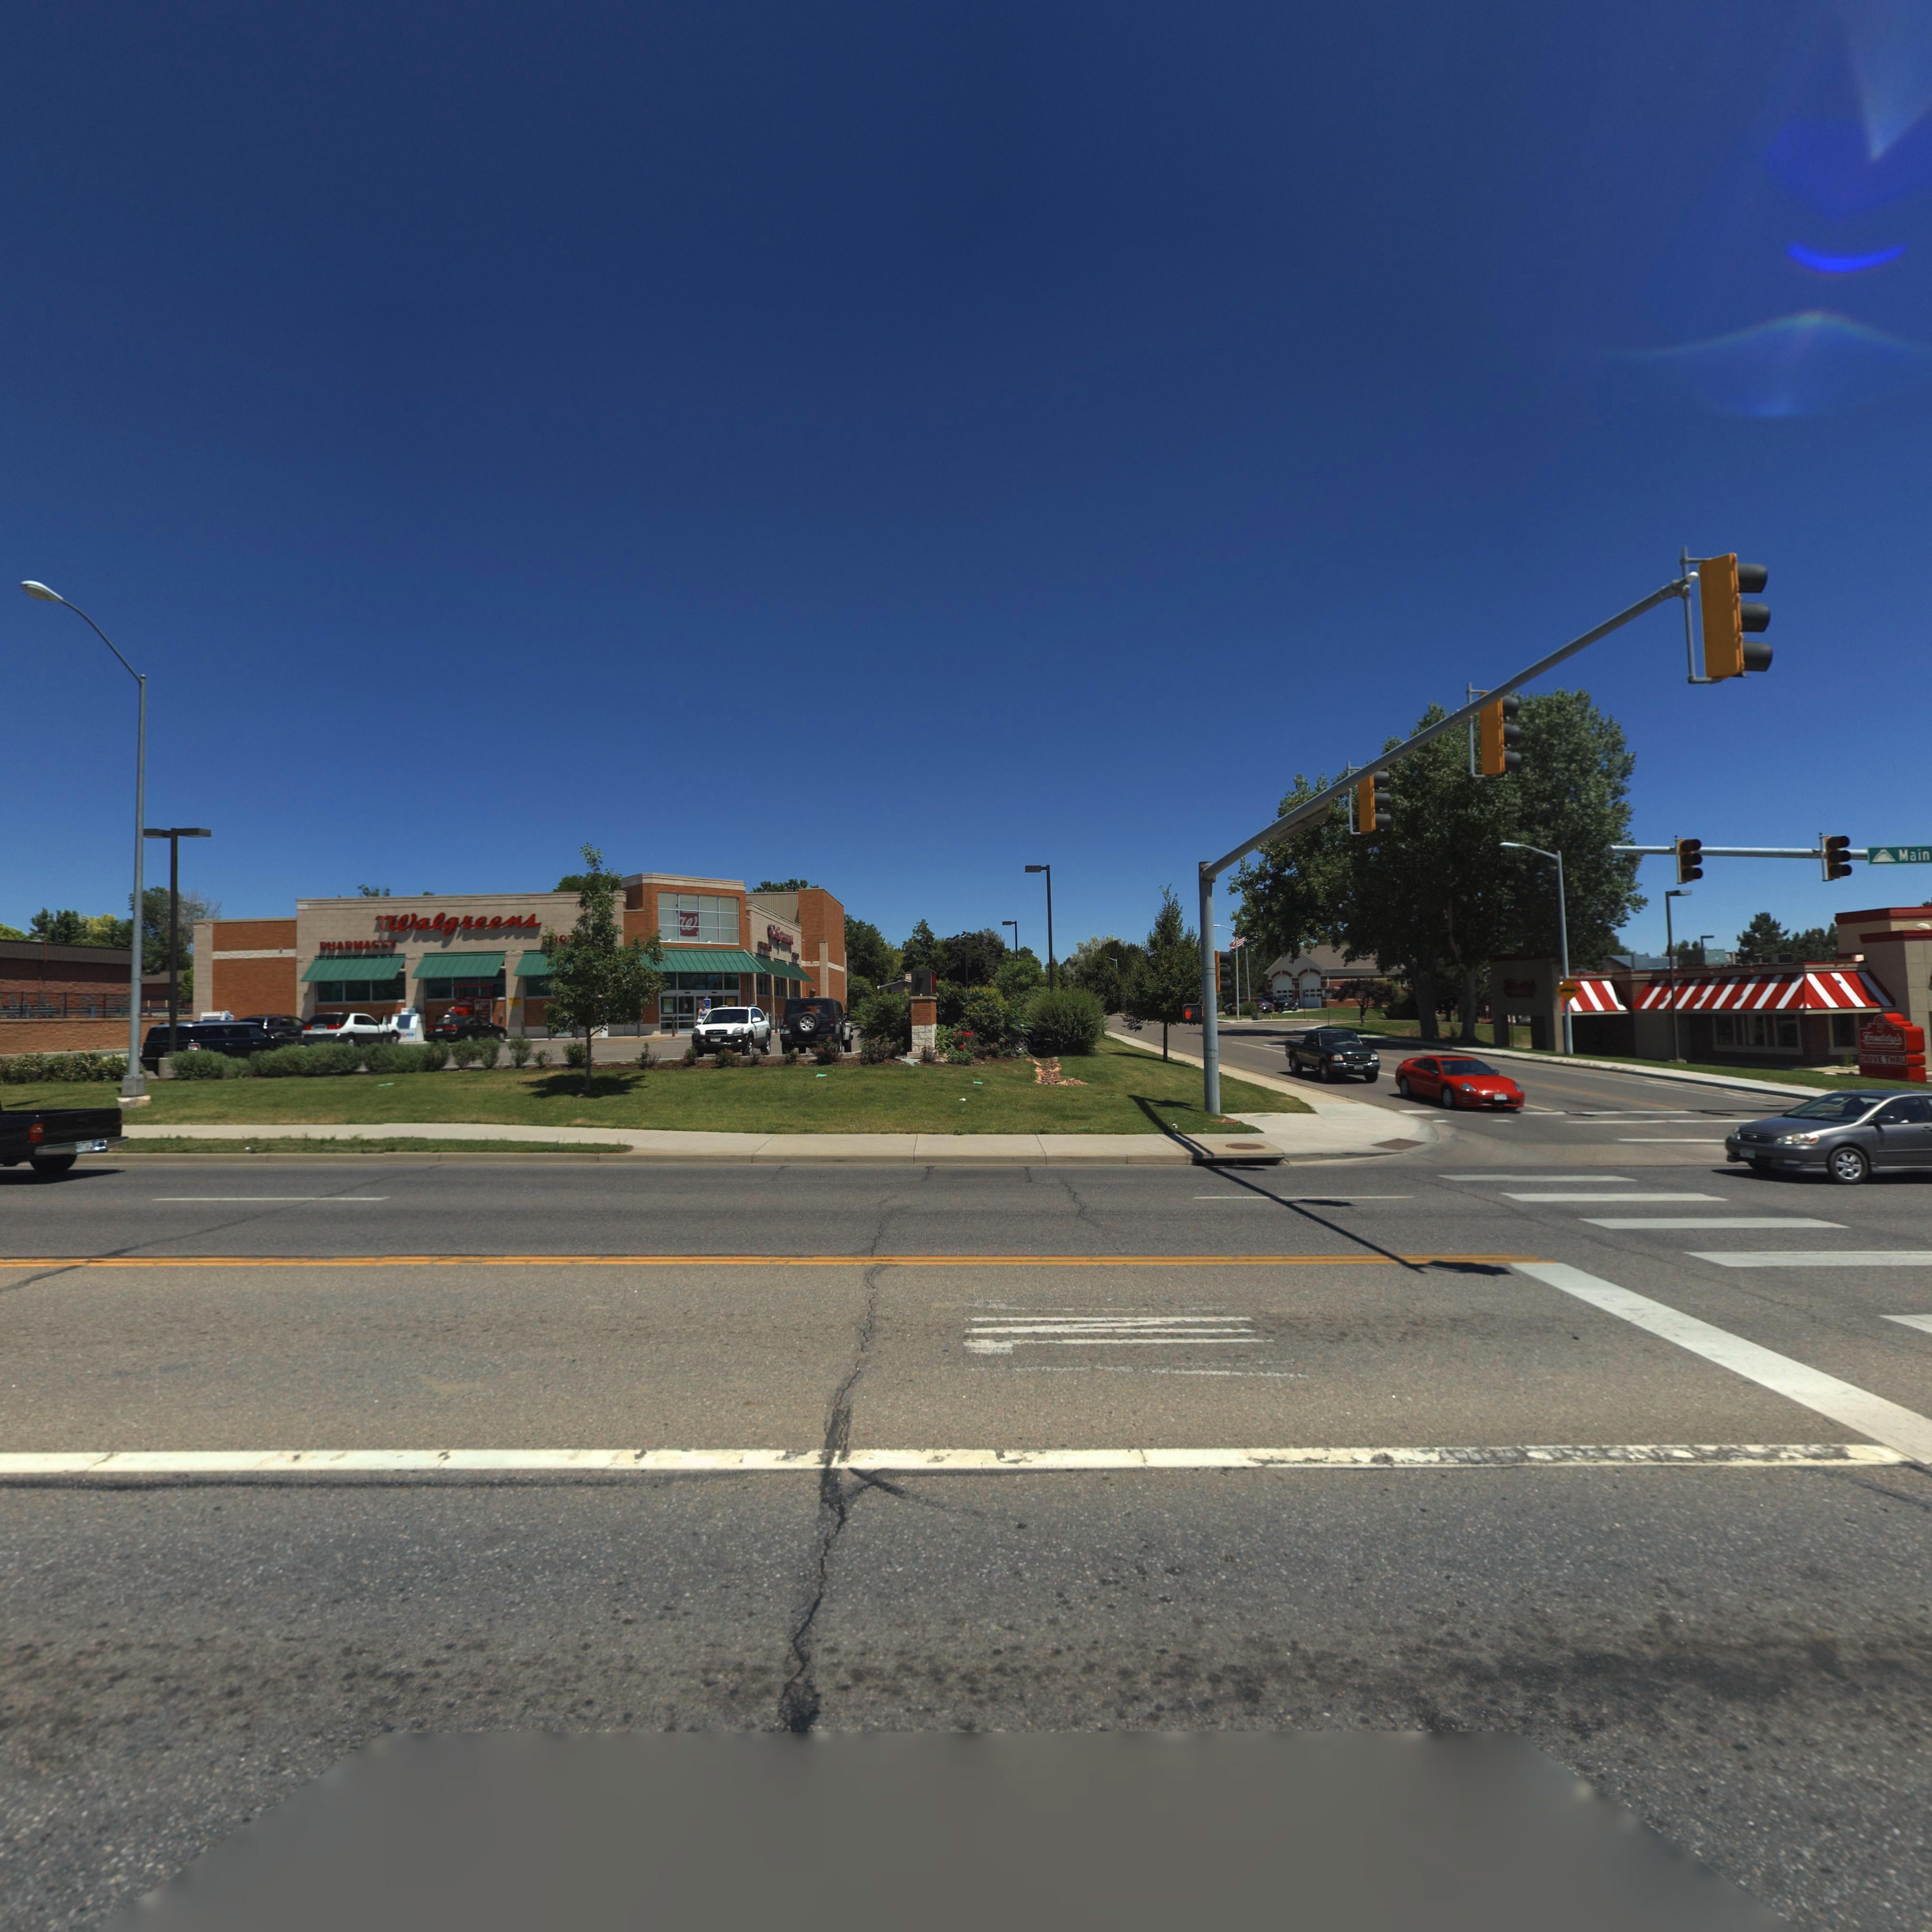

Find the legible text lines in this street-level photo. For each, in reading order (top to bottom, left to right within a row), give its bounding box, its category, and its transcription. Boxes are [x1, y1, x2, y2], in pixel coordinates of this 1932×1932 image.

[1898, 848, 1930, 861] StreetName: Main
[374, 912, 542, 936] BusinessName: *Walgreens
[695, 985, 706, 989] StreetNumber: 2***
[1861, 1032, 1902, 1045] BusinessName: f**ddys